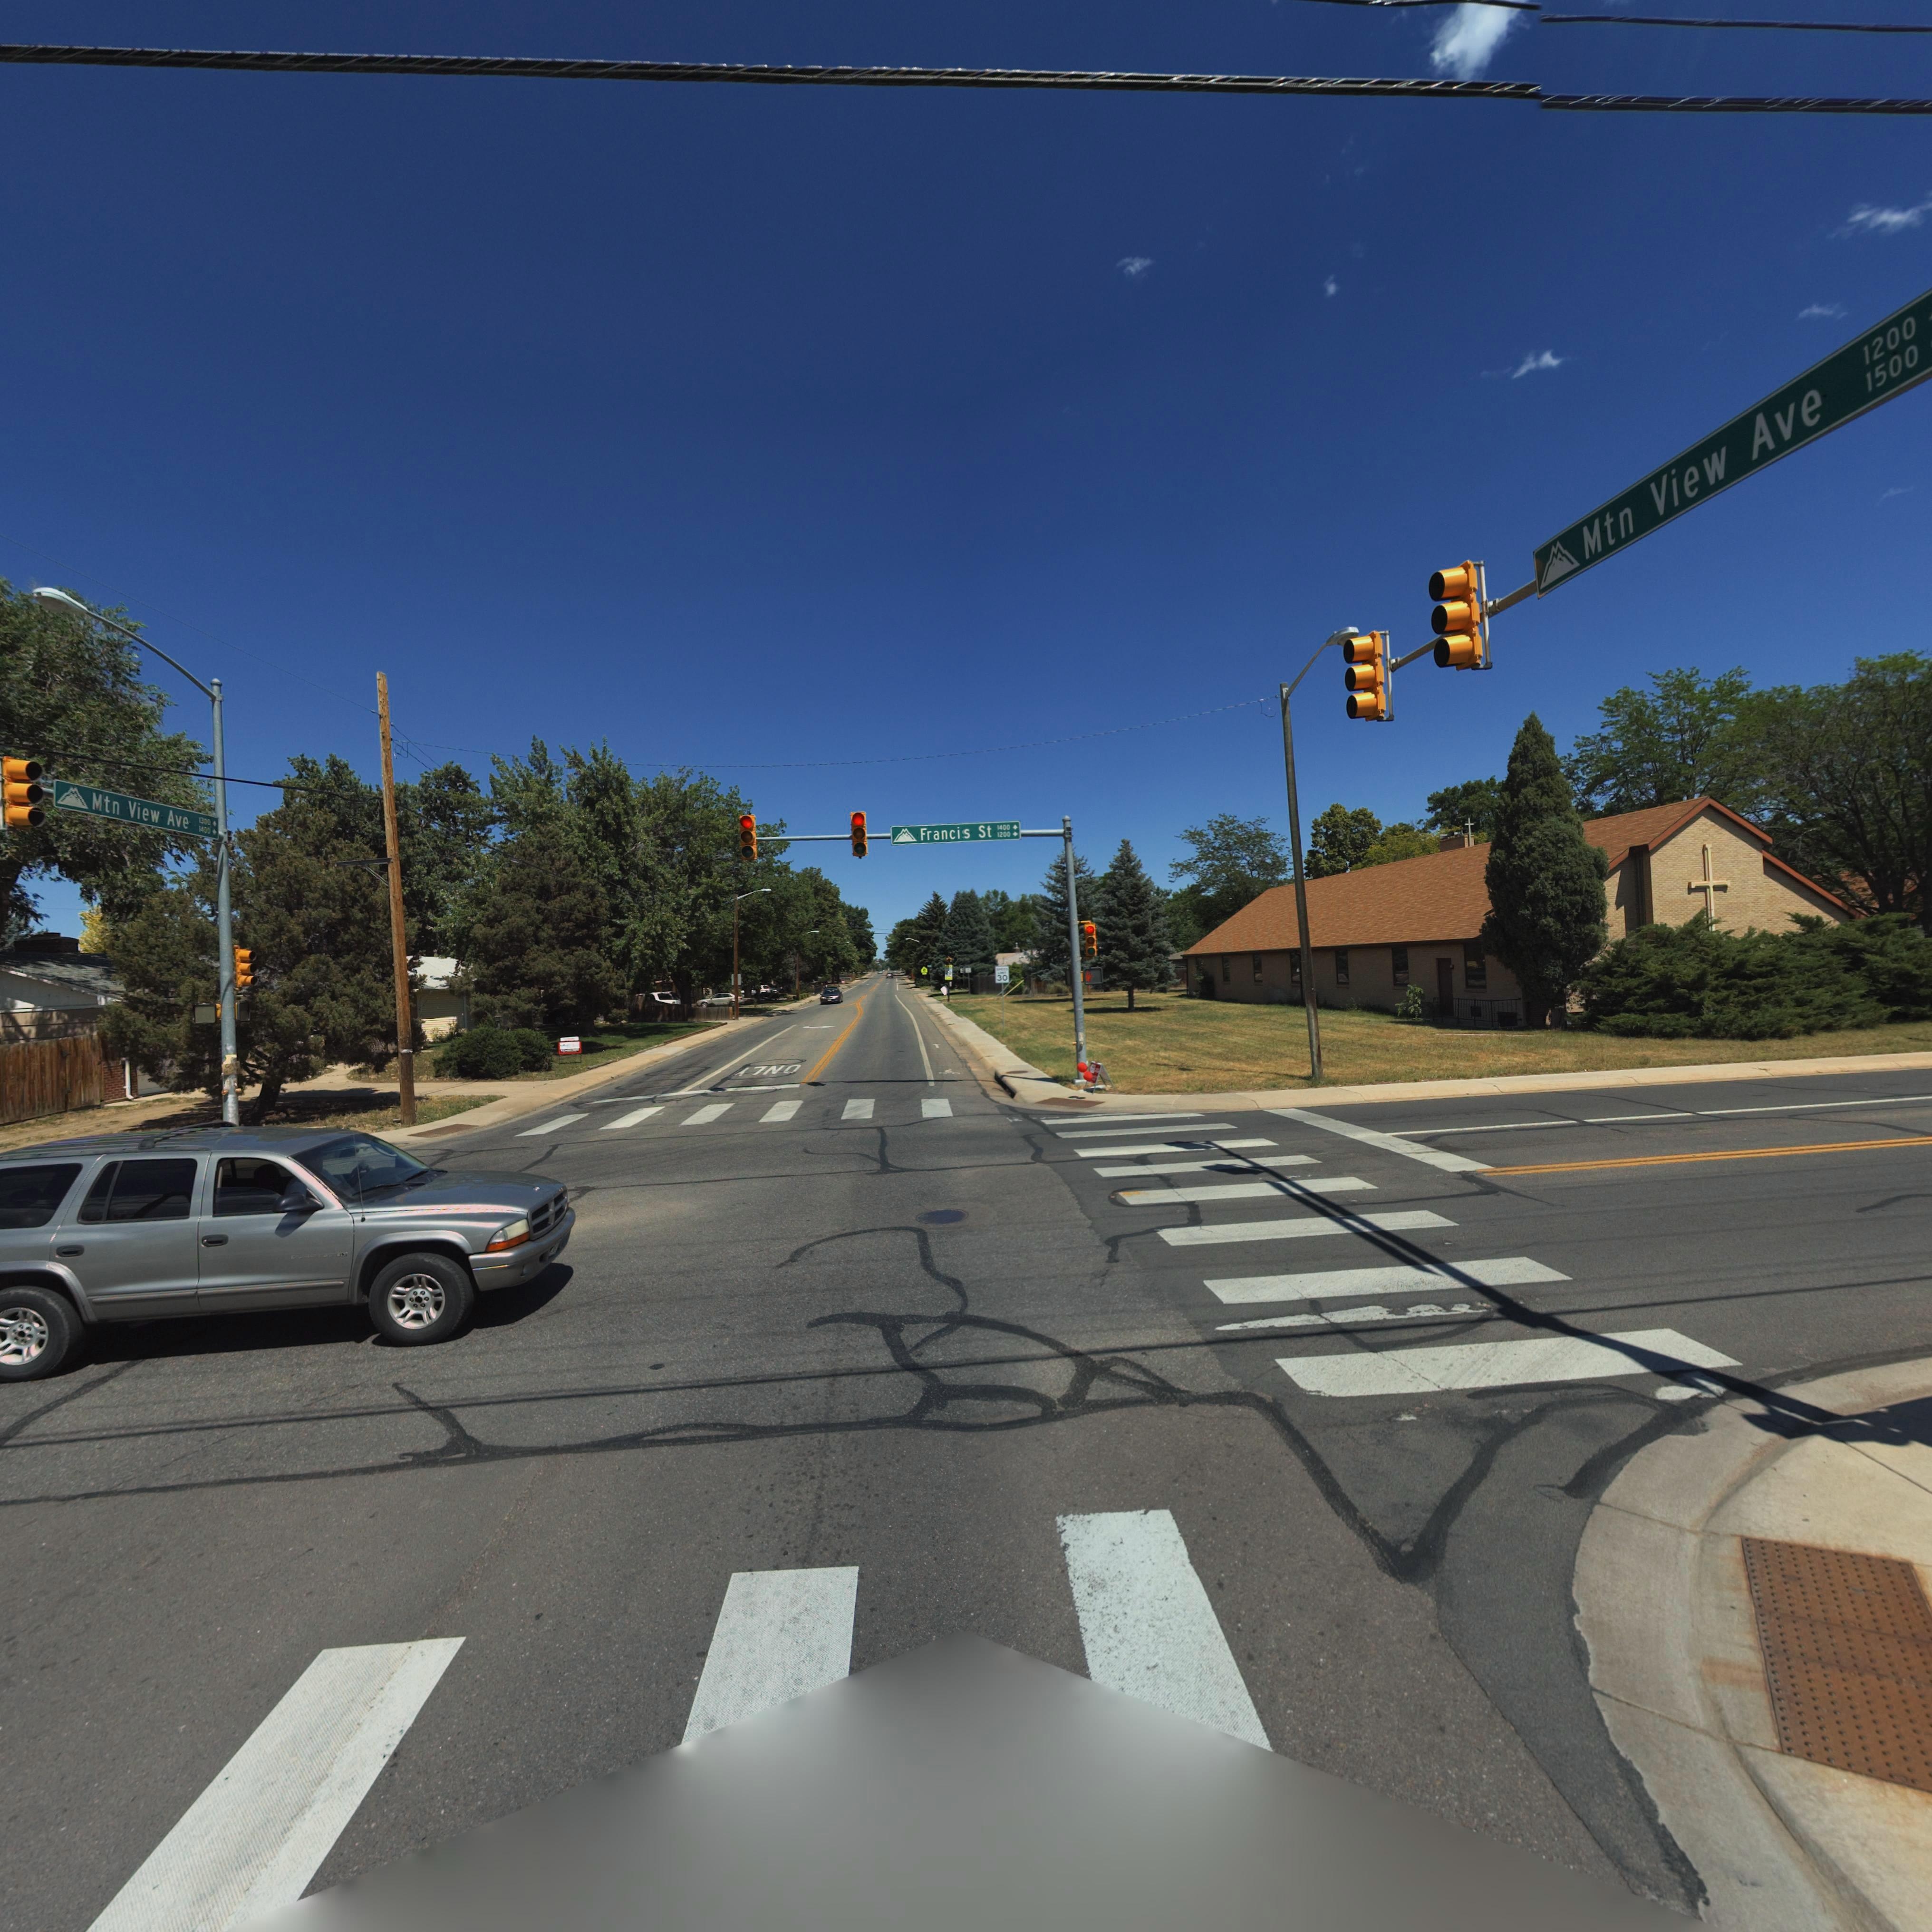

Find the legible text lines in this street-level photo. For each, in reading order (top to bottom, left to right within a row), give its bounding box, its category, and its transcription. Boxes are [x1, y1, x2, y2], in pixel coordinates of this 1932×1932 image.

[1863, 316, 1917, 366] StreetNumberRange: 1200
[1864, 342, 1920, 393] StreetNumberRange: 1500
[1582, 389, 1823, 560] StreetName: Mtn View Ave
[92, 792, 189, 829] StreetName: Mtn View Ave
[199, 816, 211, 825] StreetNumberRange: 1300
[199, 825, 217, 835] StreetName: 1400->
[920, 824, 992, 841] StreetName: Francis St
[997, 824, 1010, 831] StreetNumberRange: 1400
[997, 831, 1019, 837] StreetNumberRange: 1200->